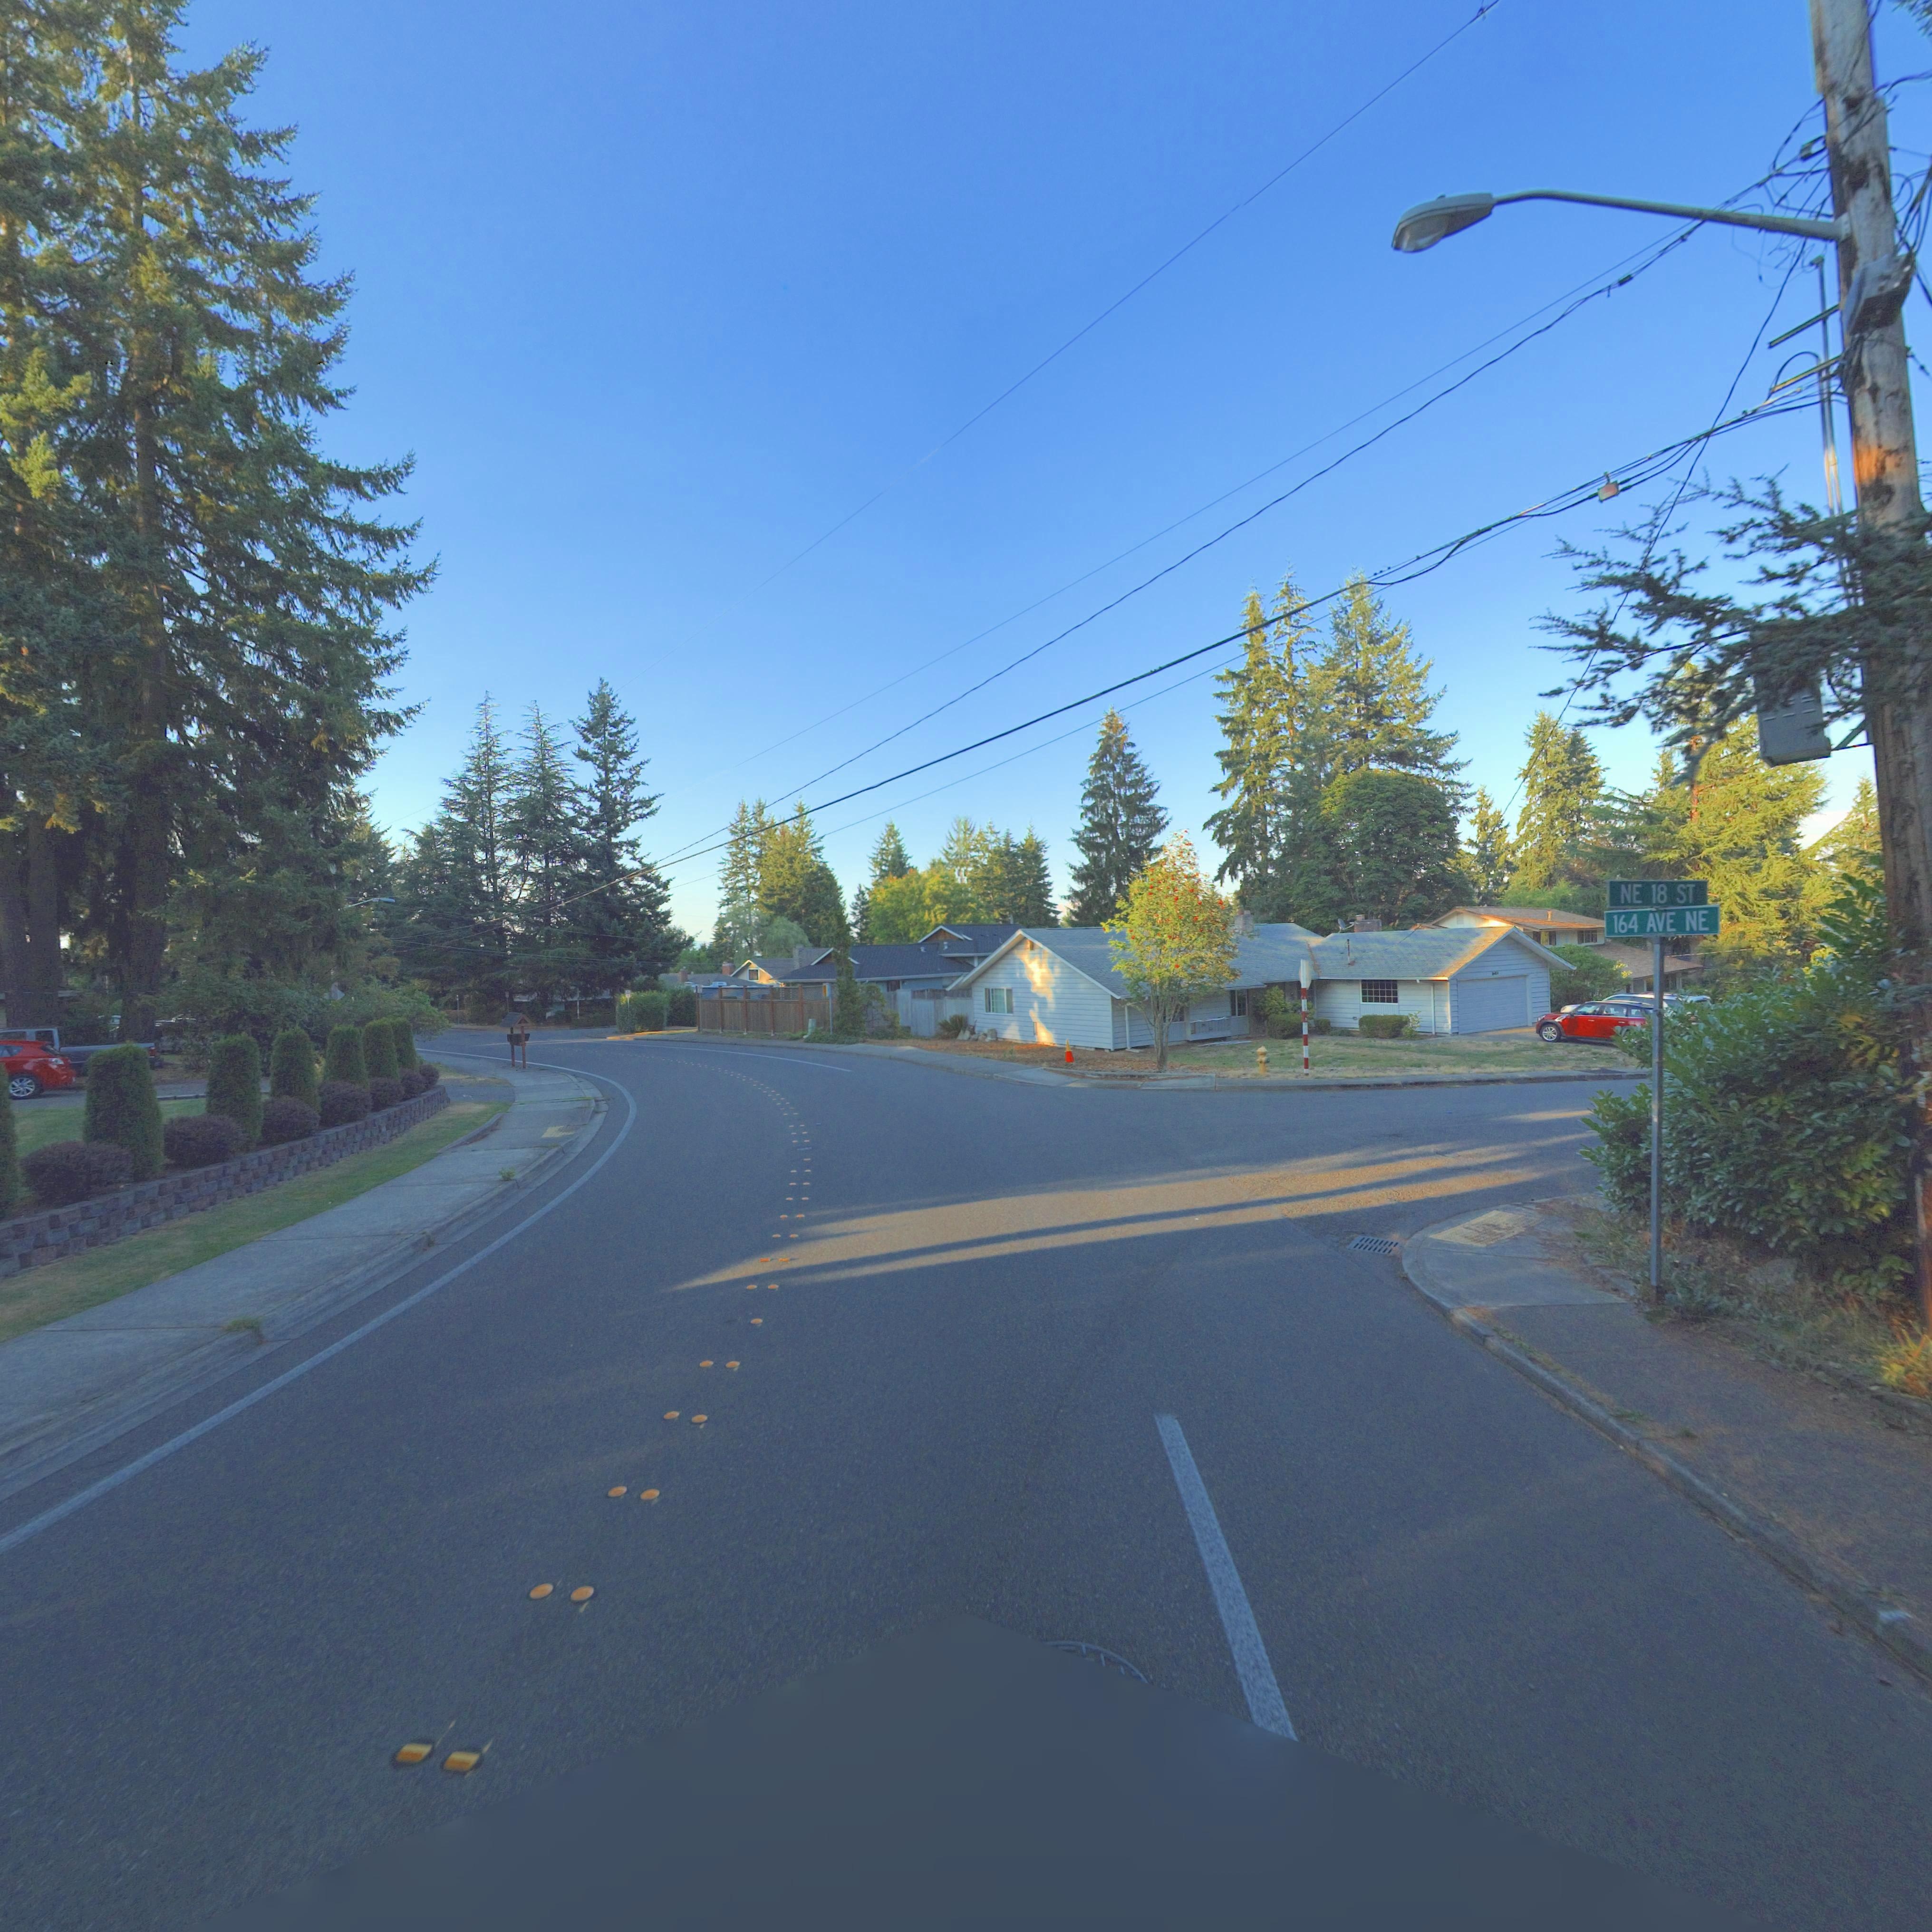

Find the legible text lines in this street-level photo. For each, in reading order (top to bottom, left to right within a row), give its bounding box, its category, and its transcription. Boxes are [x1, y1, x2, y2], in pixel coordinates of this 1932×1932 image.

[1622, 883, 1694, 904] StreetName: NE 18 ST
[1613, 910, 1710, 933] StreetName: 164 AVE NE